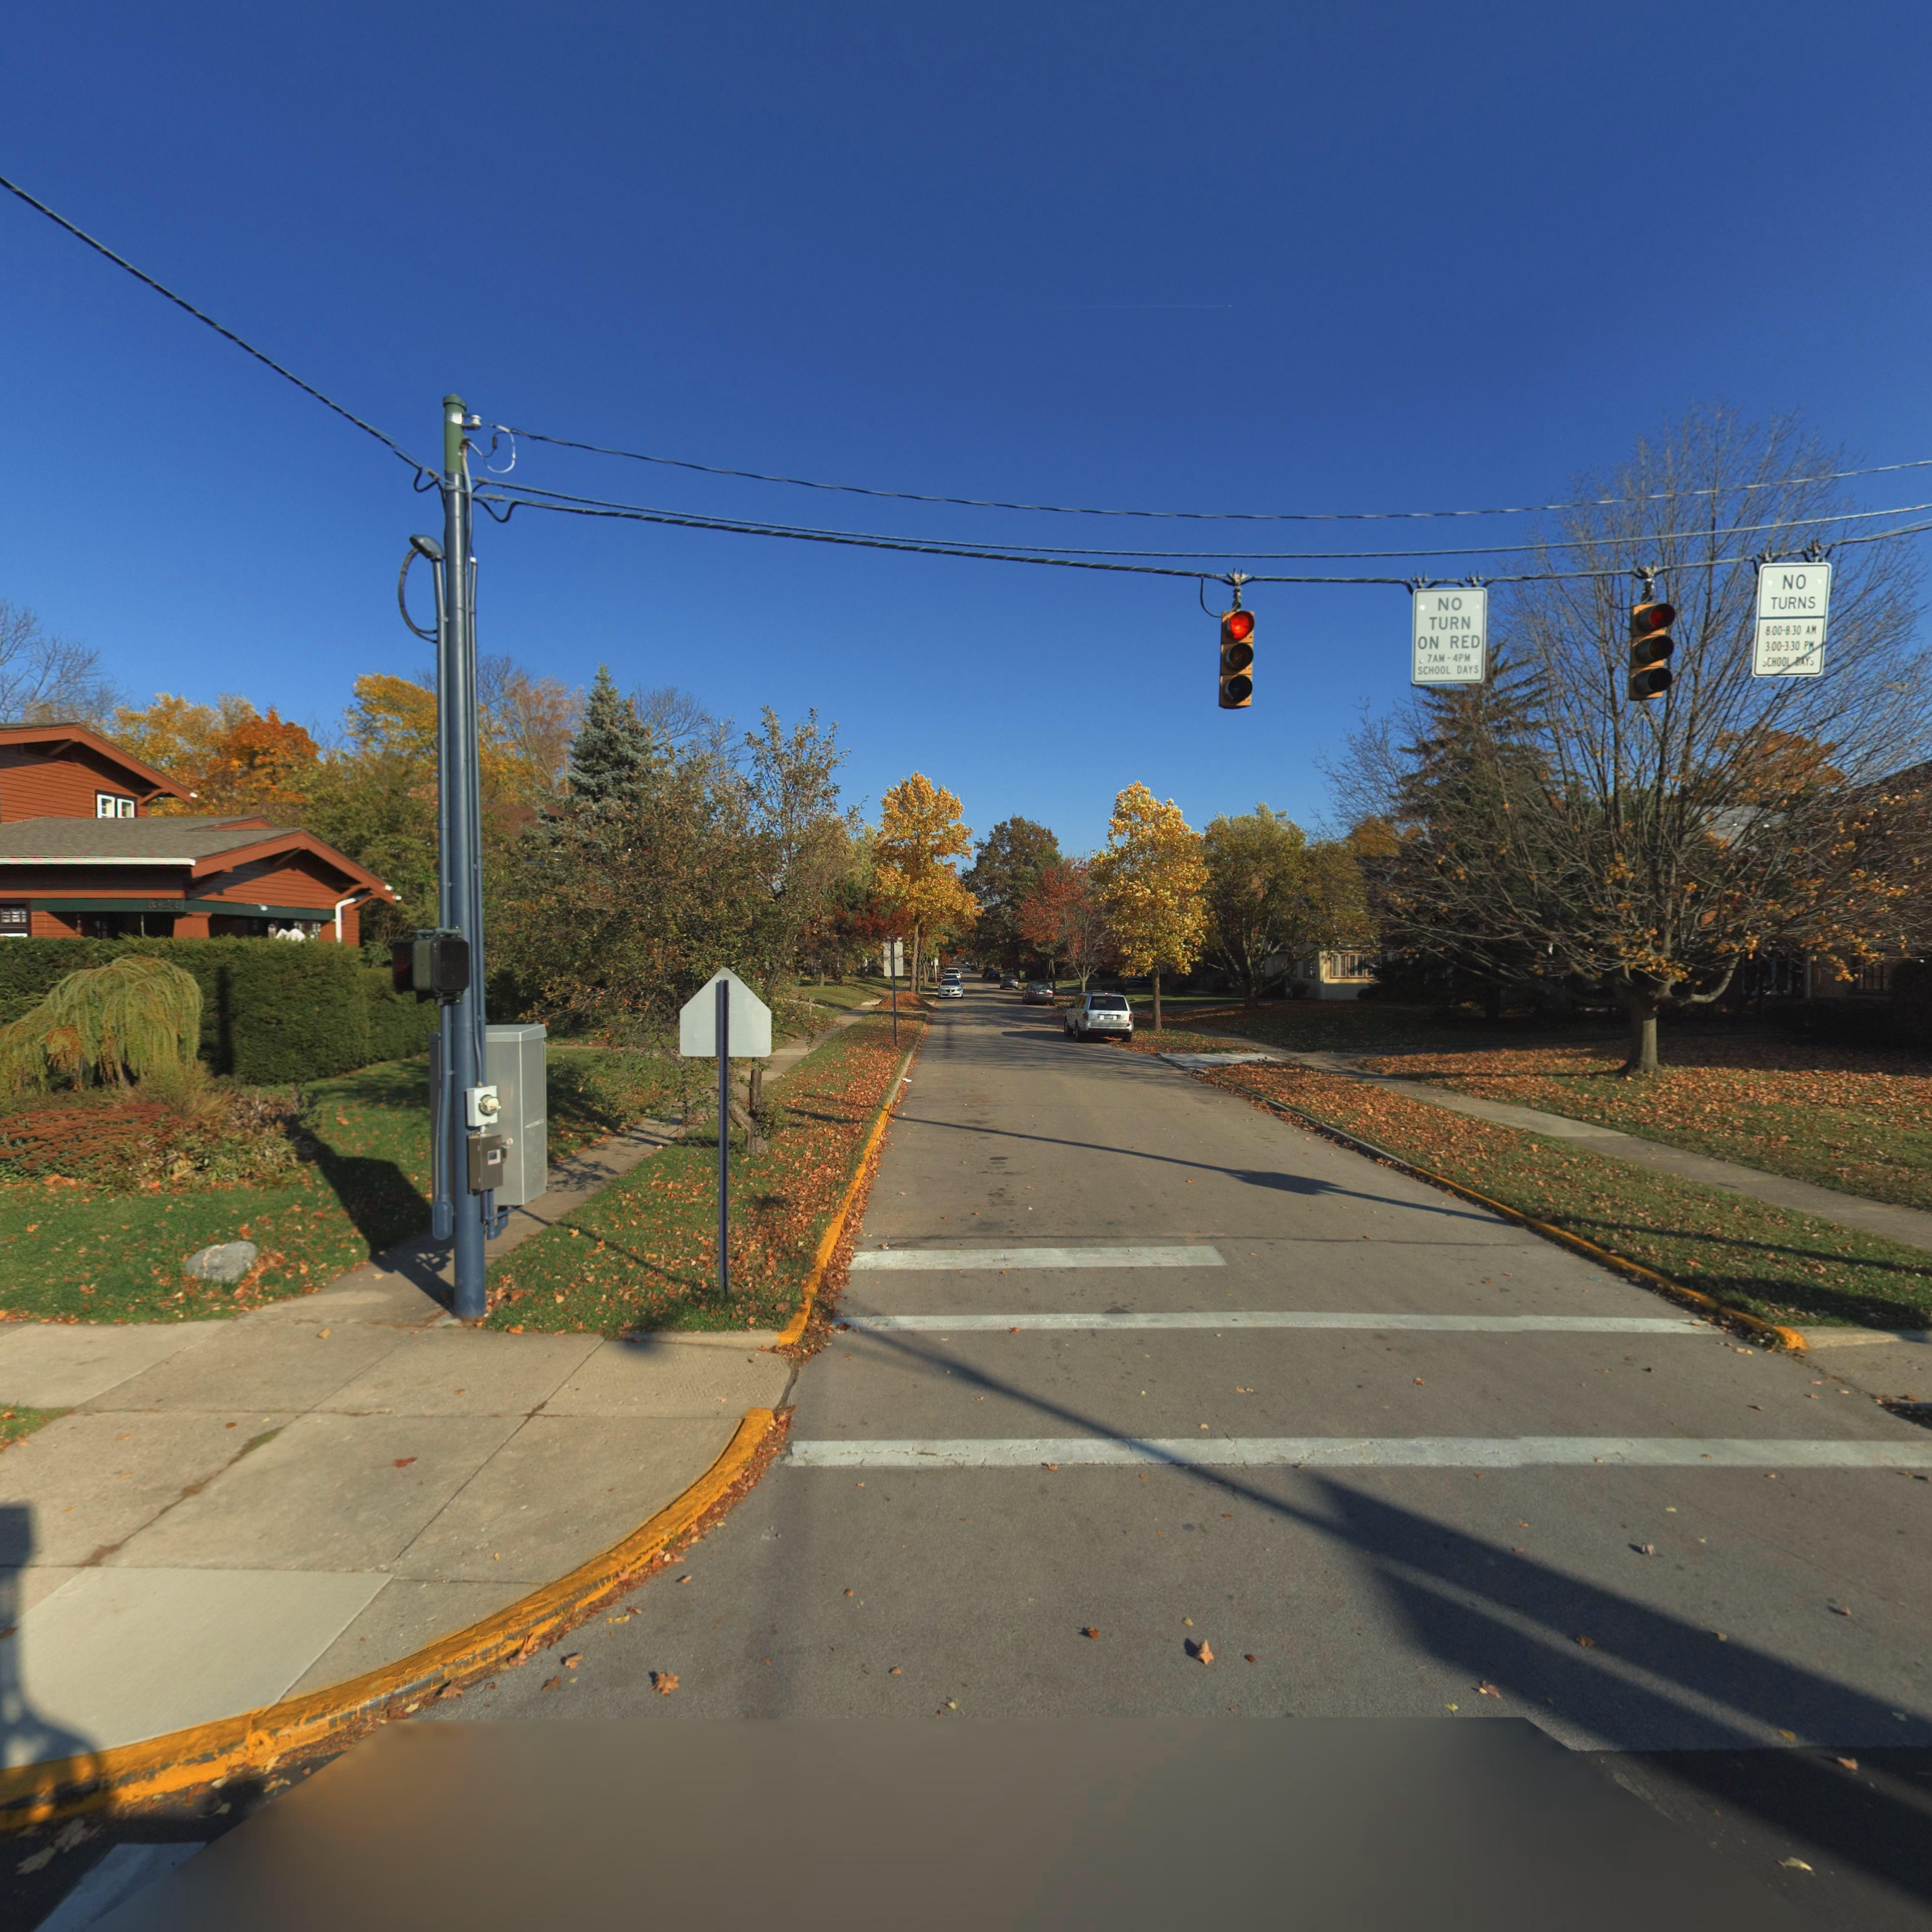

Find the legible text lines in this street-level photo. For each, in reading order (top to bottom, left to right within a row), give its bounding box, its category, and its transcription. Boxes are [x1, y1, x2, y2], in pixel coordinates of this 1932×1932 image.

[145, 898, 178, 909] StreetNumber: 1624